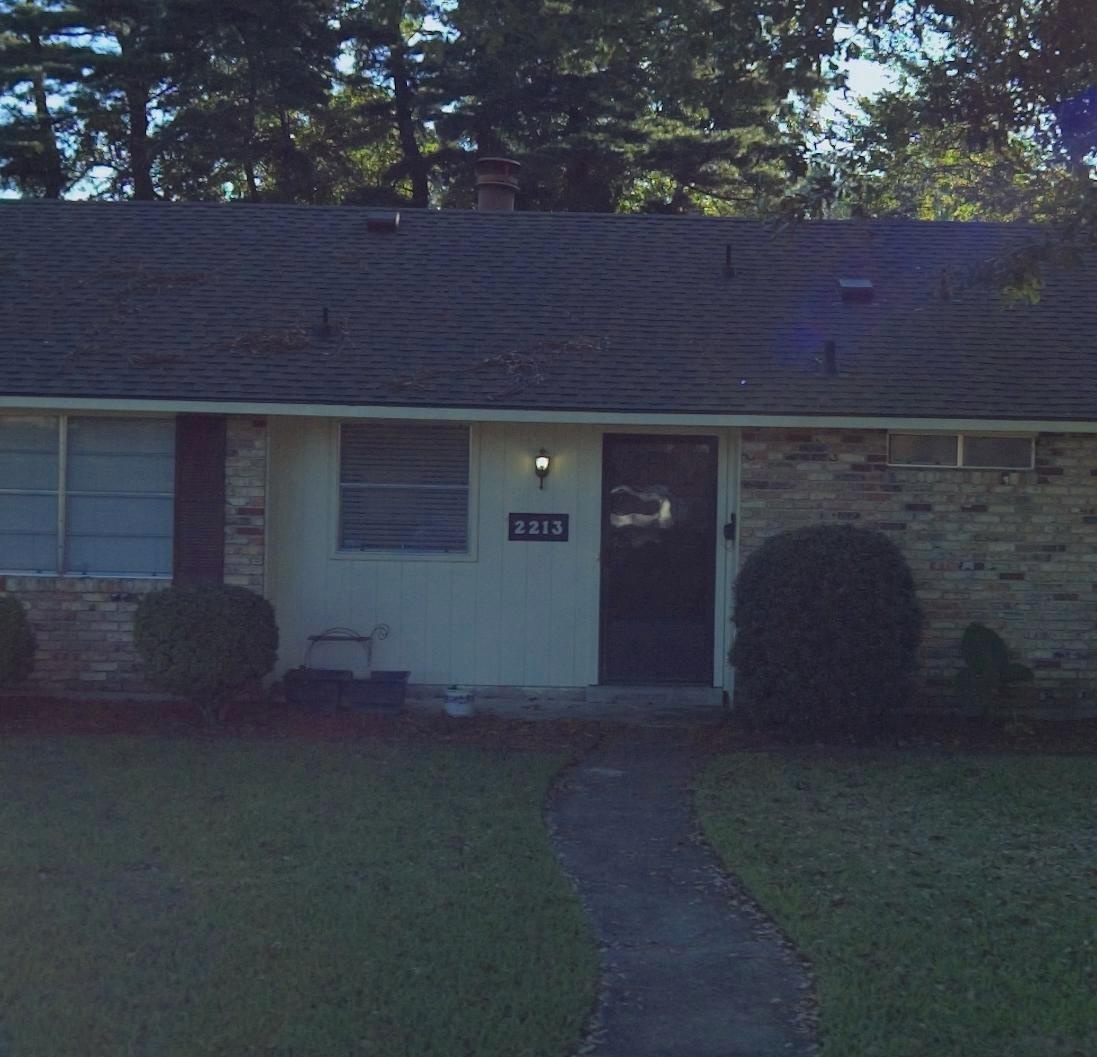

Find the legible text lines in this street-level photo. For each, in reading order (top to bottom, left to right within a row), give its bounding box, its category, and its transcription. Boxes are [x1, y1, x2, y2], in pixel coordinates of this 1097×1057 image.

[511, 518, 565, 537] StreetNumber: 2213